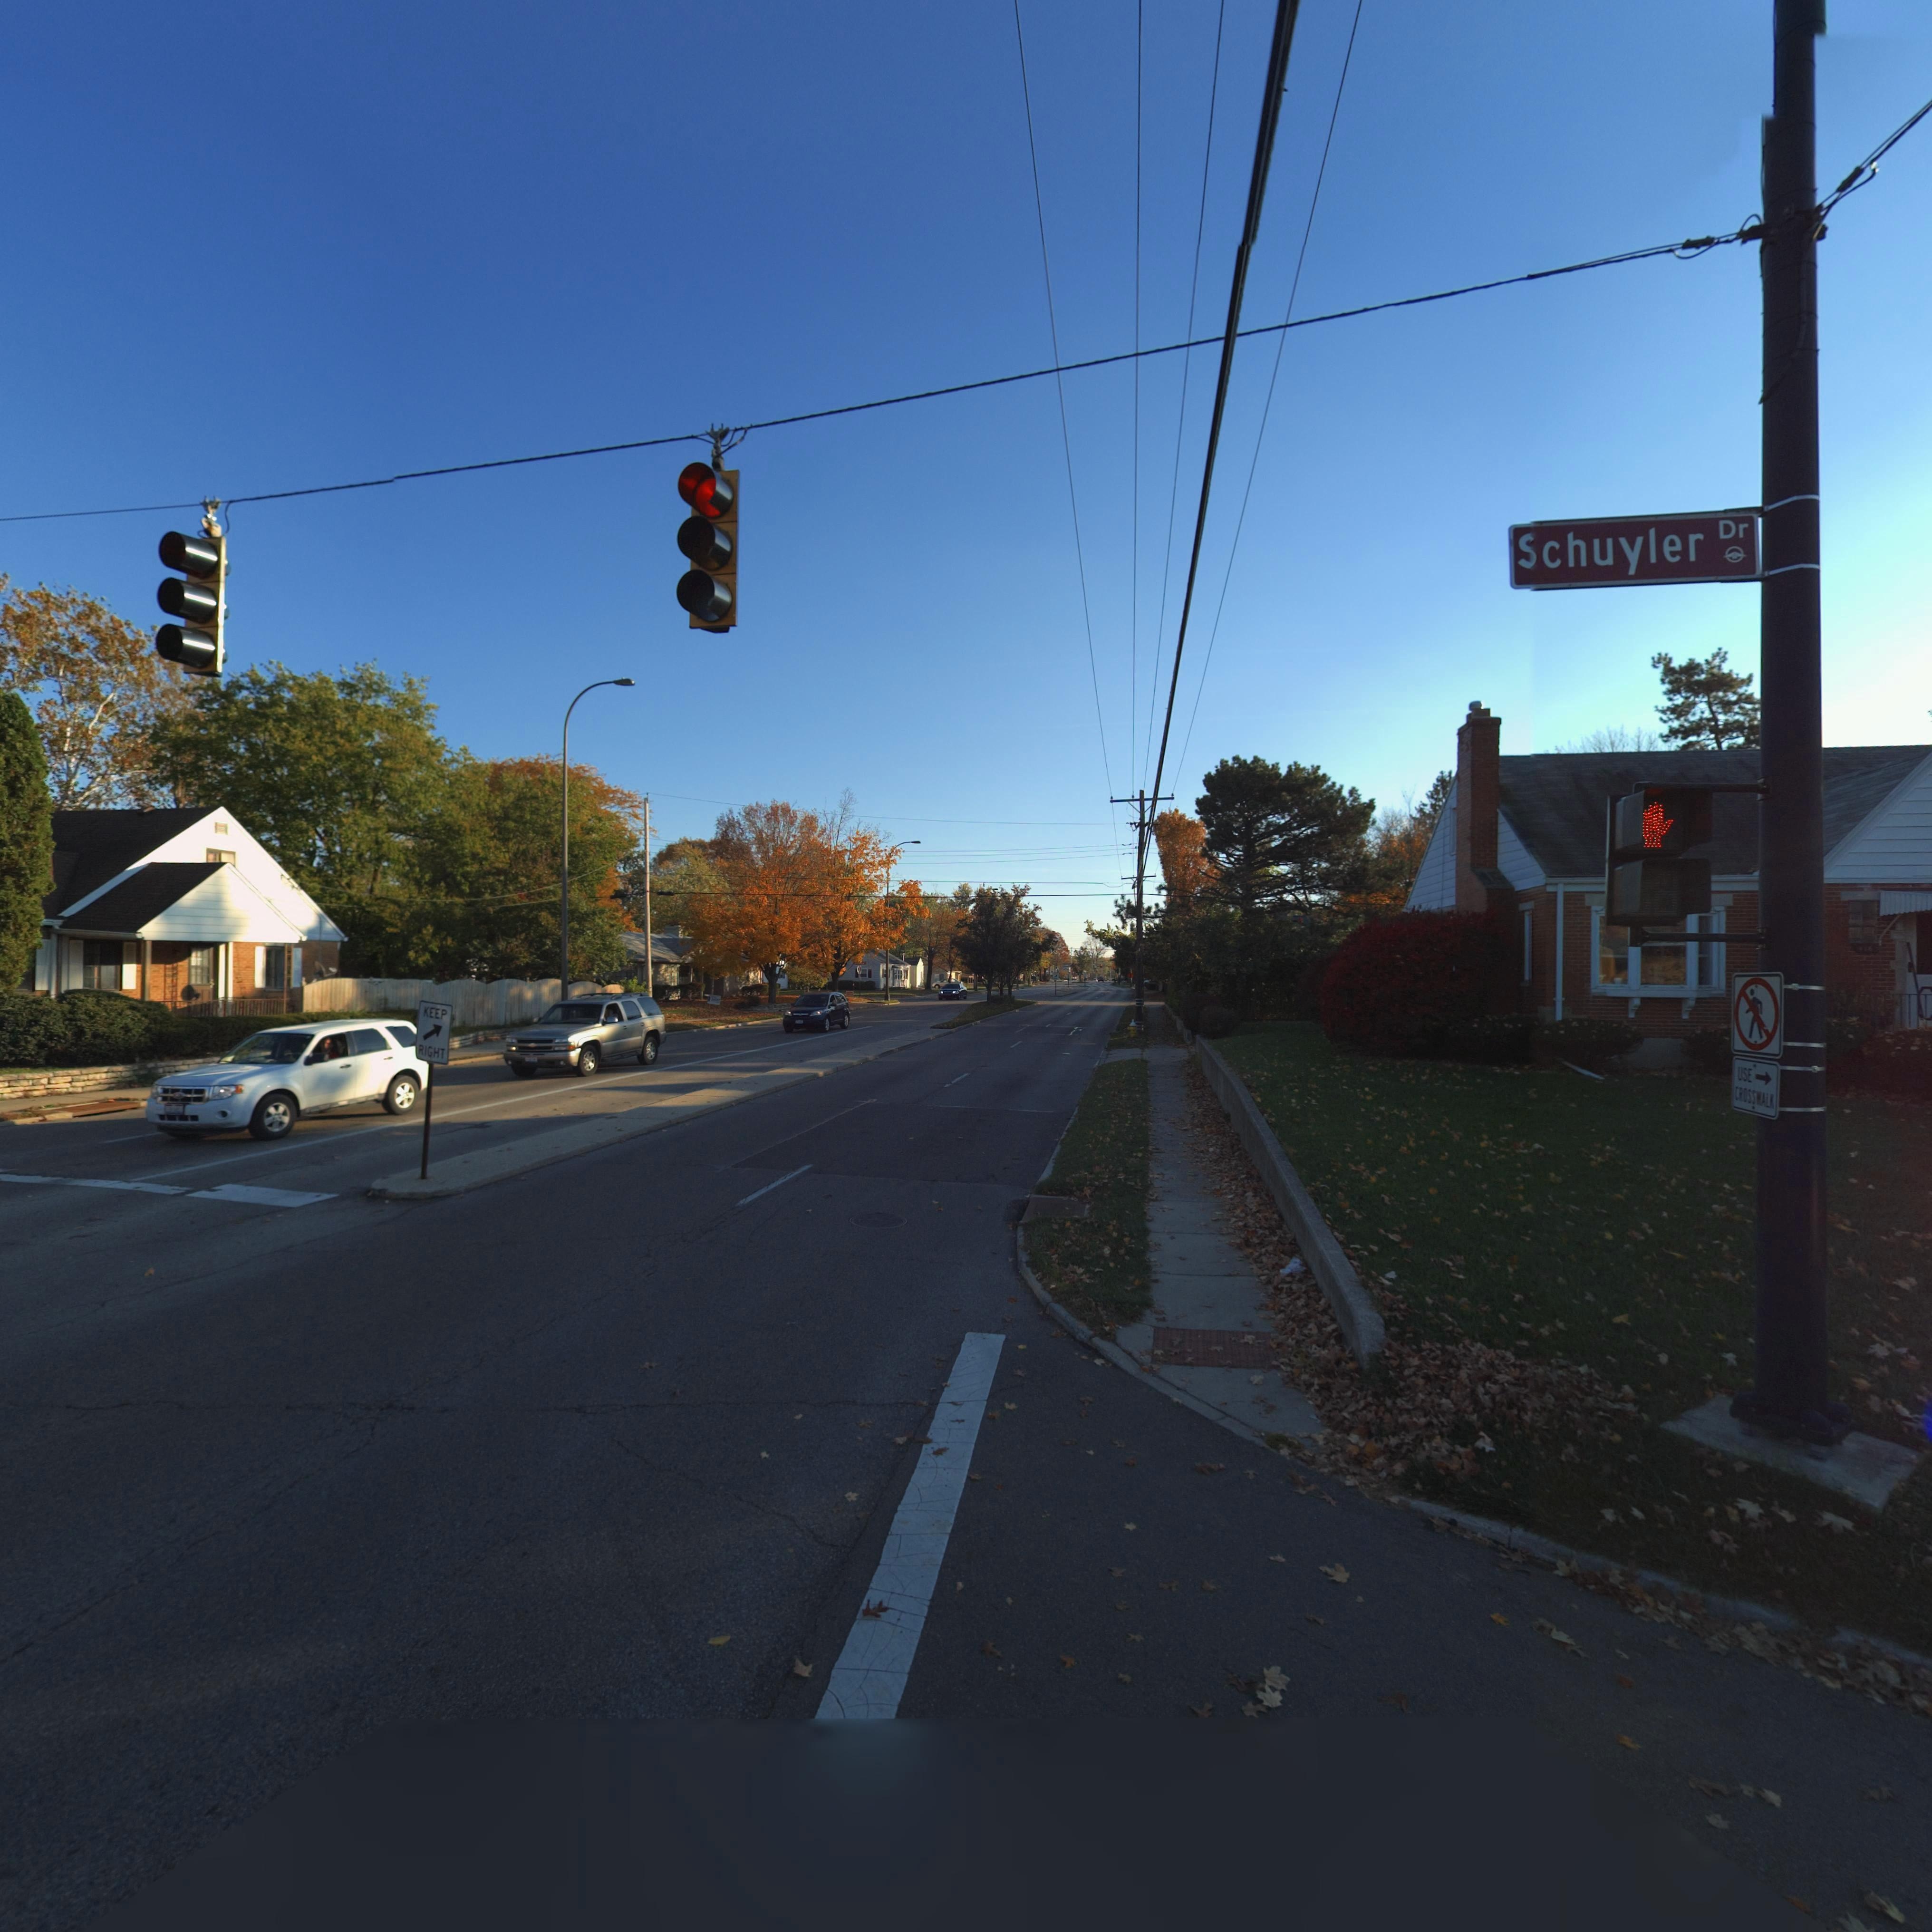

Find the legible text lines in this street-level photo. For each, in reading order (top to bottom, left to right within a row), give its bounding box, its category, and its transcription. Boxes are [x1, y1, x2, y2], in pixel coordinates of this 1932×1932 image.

[1540, 518, 1750, 578] StreetName: chuyler Dr
[1857, 944, 1874, 952] StreetNumber: 416